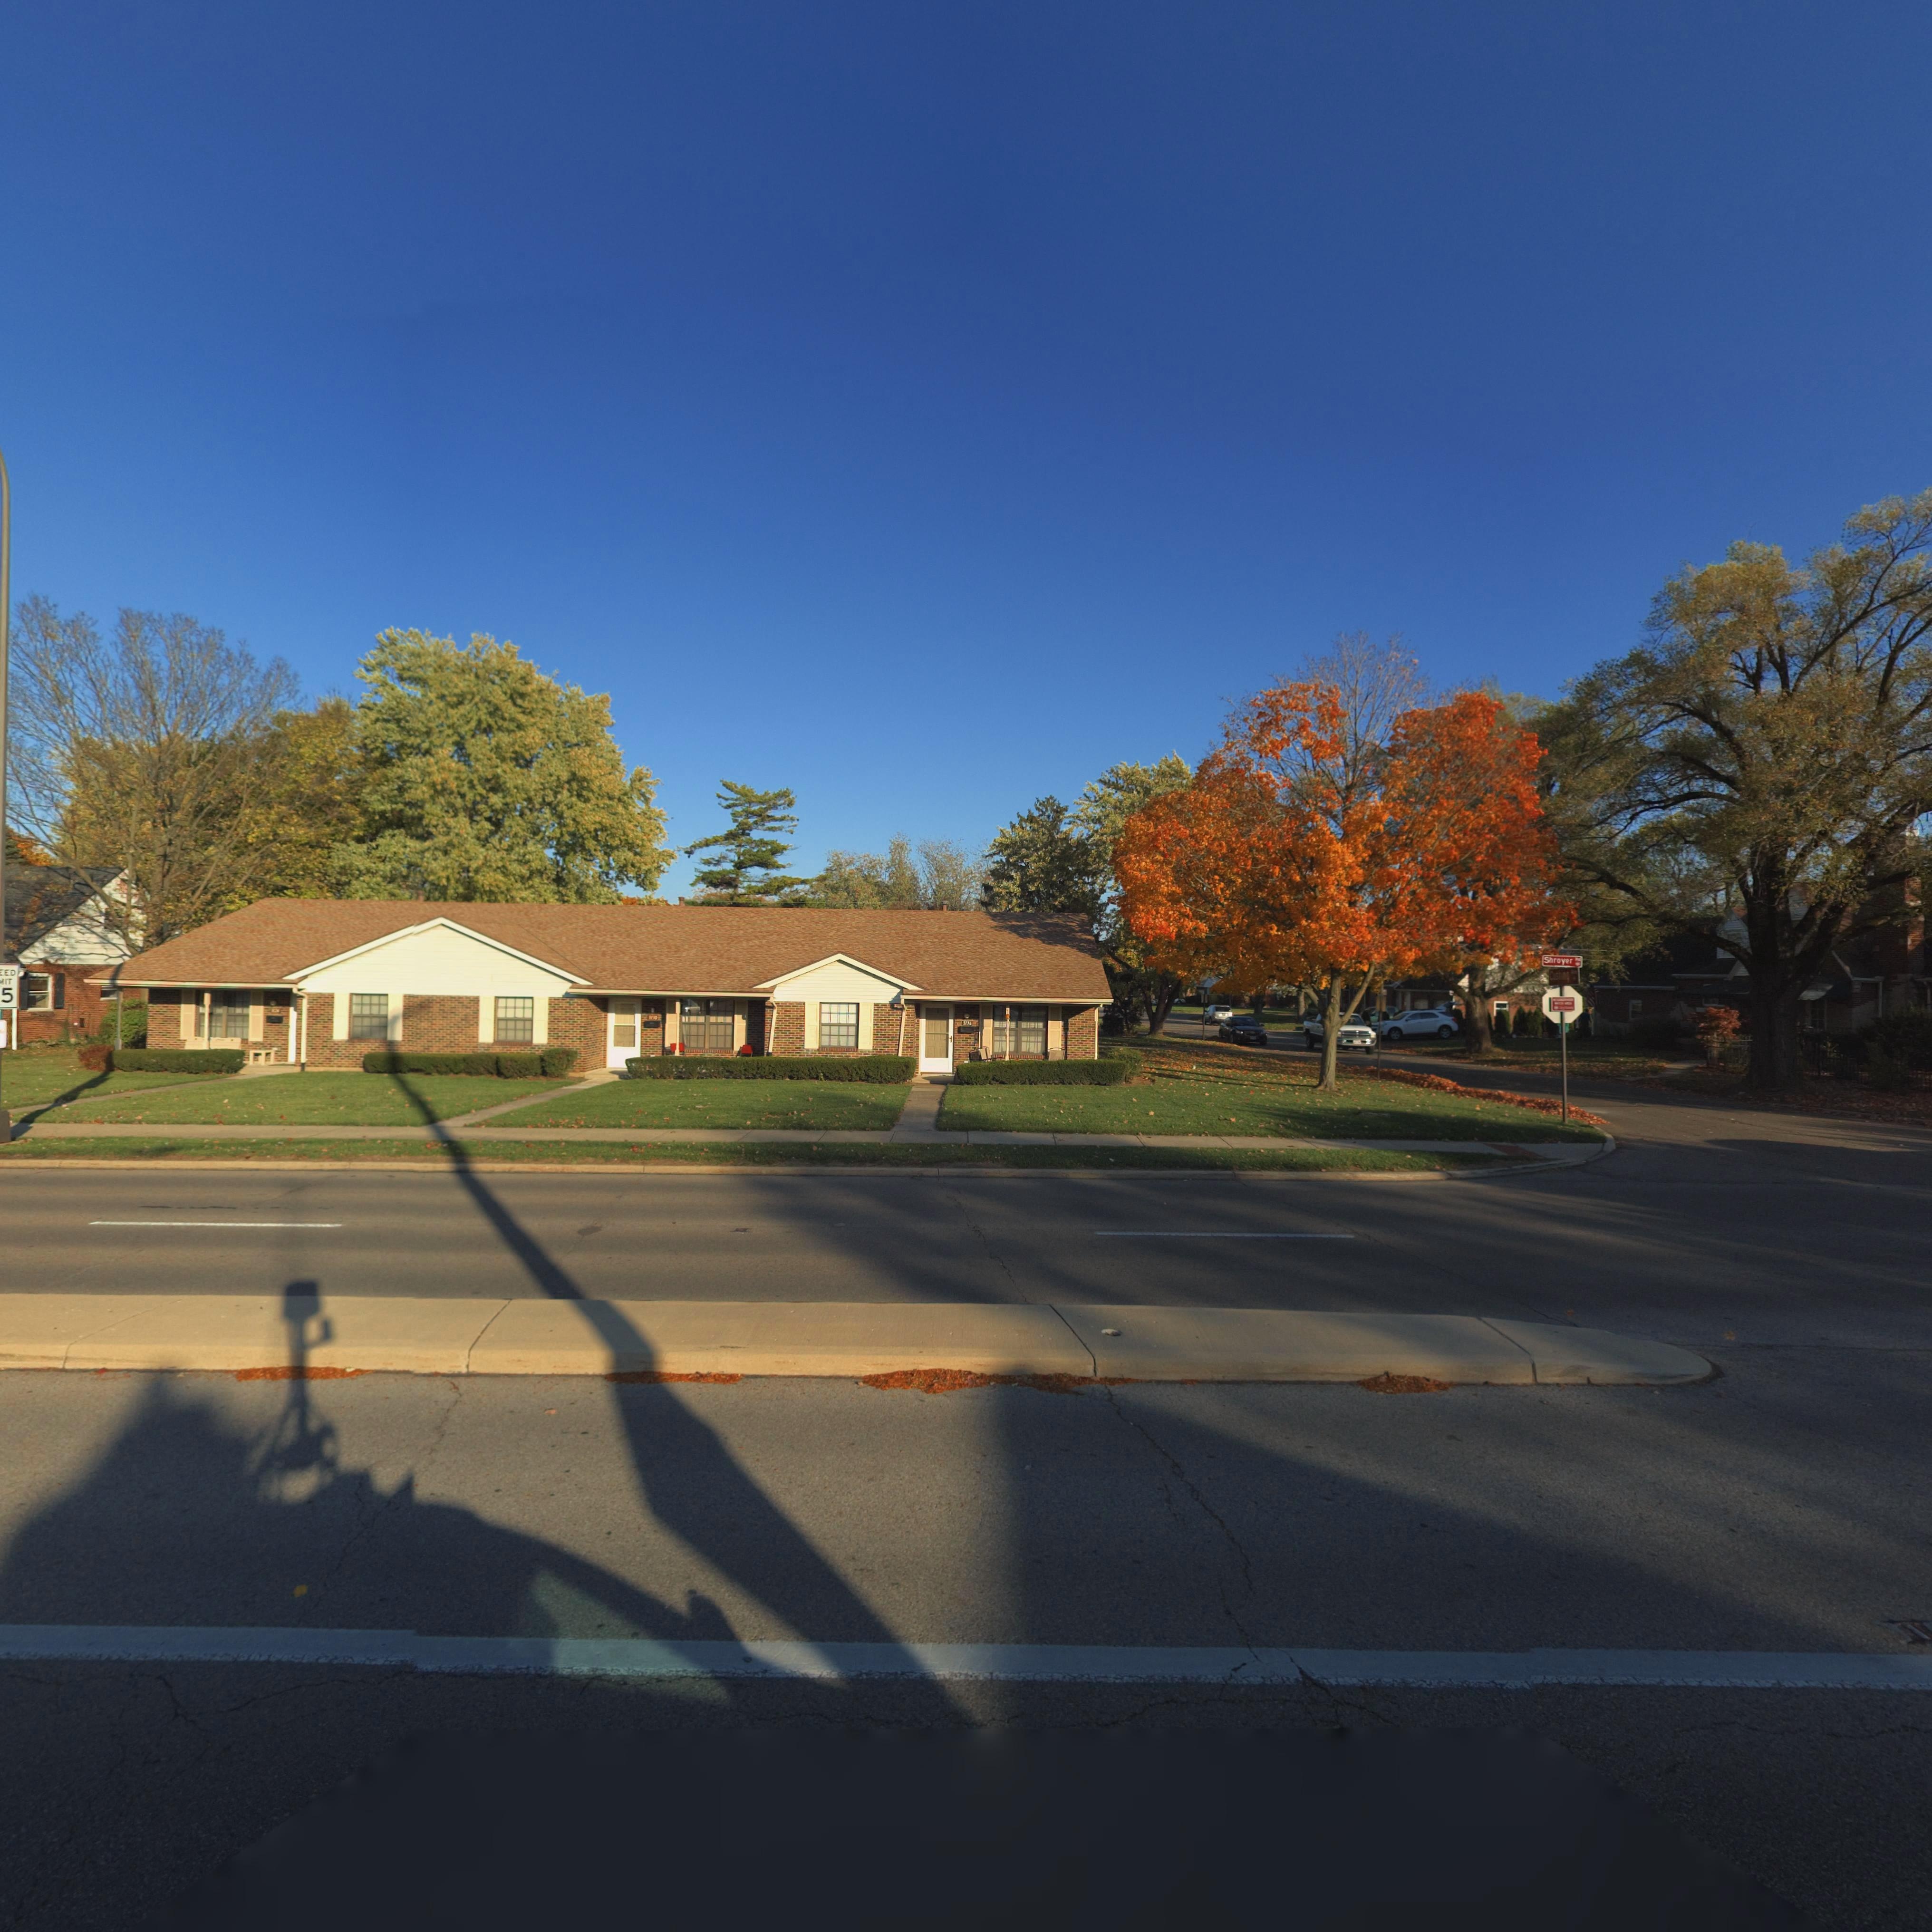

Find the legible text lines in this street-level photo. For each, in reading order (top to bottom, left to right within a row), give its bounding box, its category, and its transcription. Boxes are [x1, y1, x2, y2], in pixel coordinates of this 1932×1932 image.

[1543, 956, 1574, 966] StreetName: Shroyer
[1549, 969, 1570, 984] StreetName: Cushing
[962, 1020, 971, 1025] StreetNumber: 3136